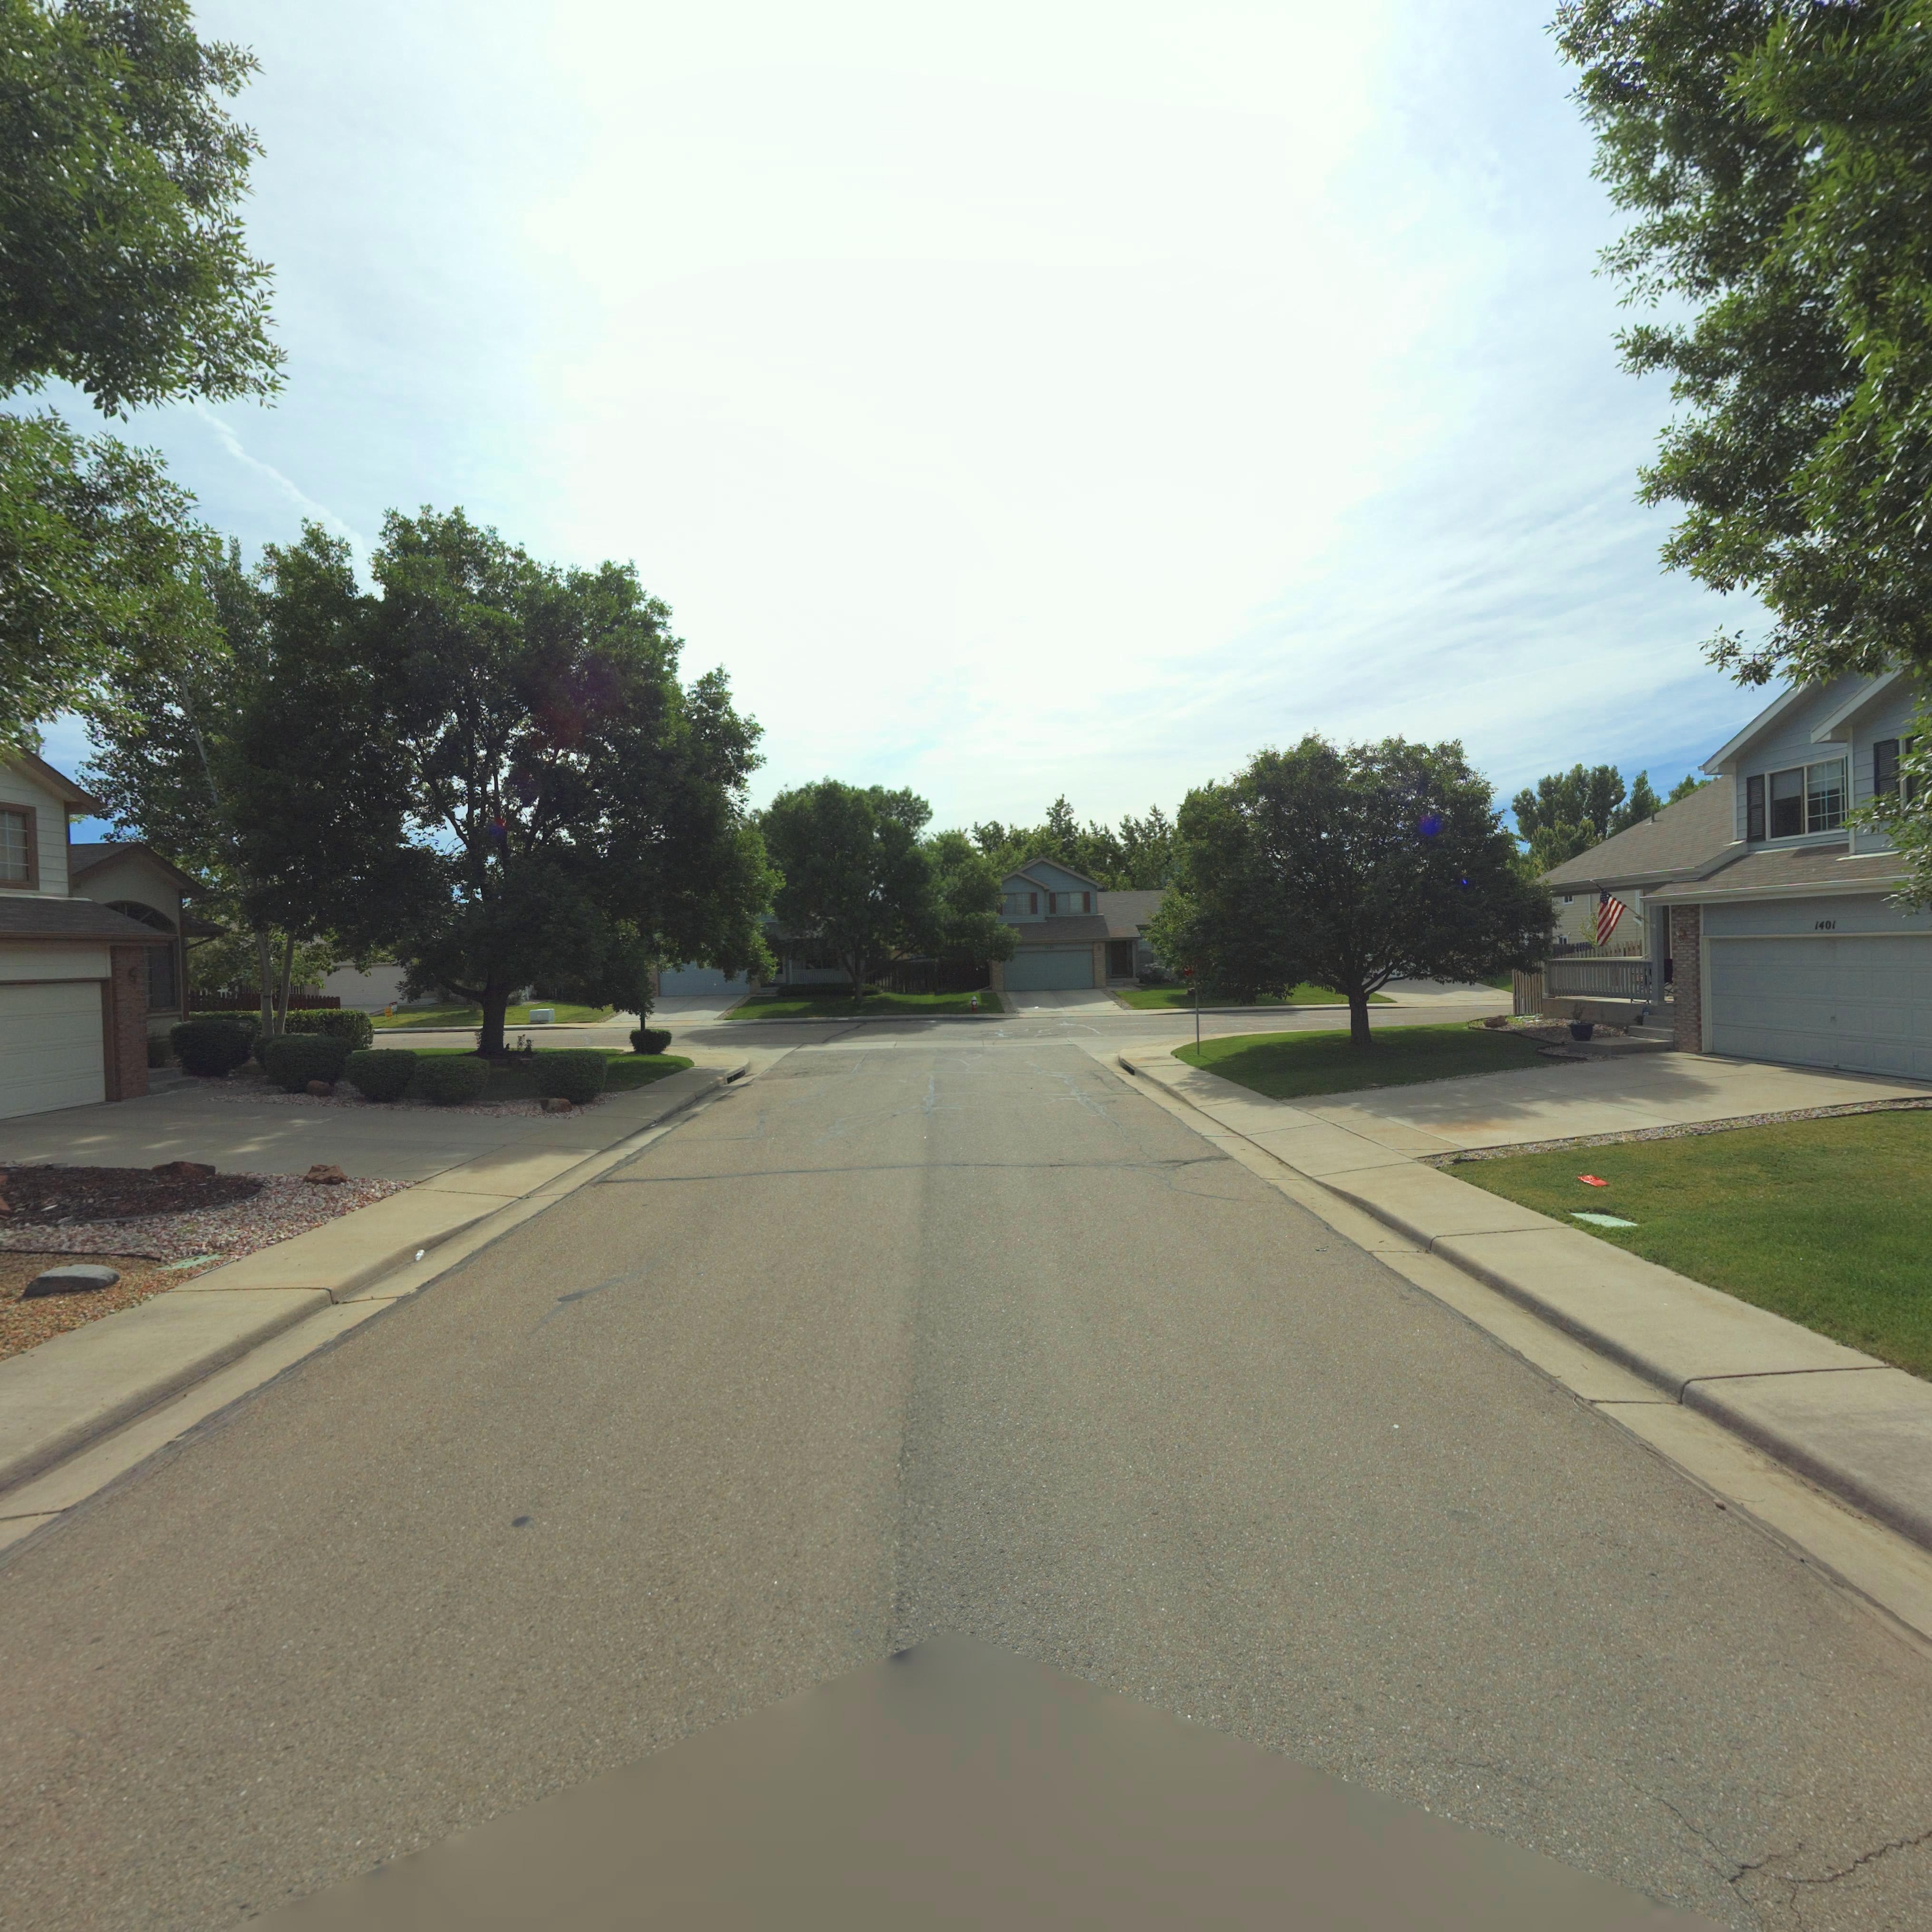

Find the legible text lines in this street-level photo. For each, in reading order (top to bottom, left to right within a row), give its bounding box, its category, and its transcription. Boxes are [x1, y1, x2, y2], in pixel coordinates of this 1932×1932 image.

[1815, 920, 1836, 929] StreetNumber: 1401
[1044, 945, 1053, 949] StreetNumber: 17*2